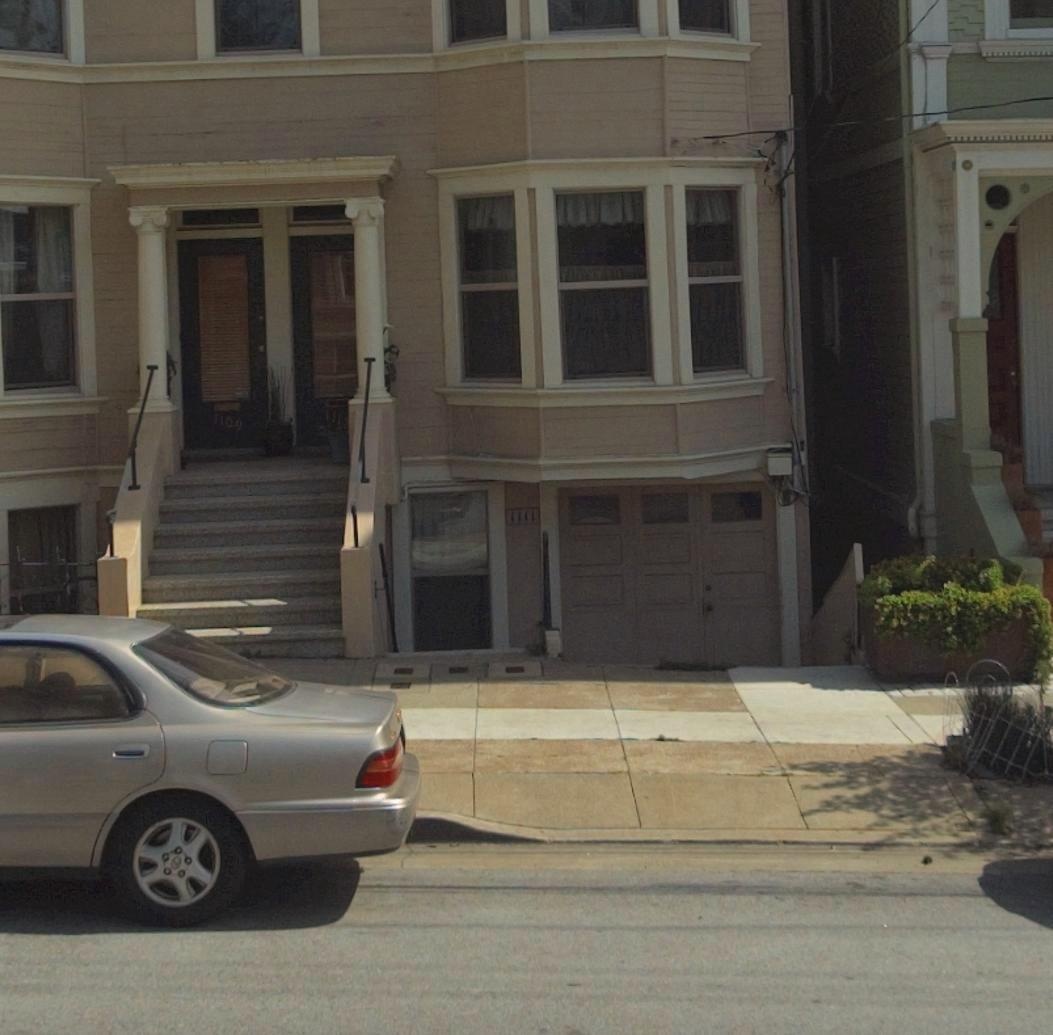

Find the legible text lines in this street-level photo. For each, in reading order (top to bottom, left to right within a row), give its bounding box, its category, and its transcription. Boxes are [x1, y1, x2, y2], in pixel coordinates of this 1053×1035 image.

[213, 411, 244, 433] StreetNumber: 1109
[324, 409, 353, 433] StreetNumber: 111*
[509, 509, 537, 523] StreetNumber: 1111